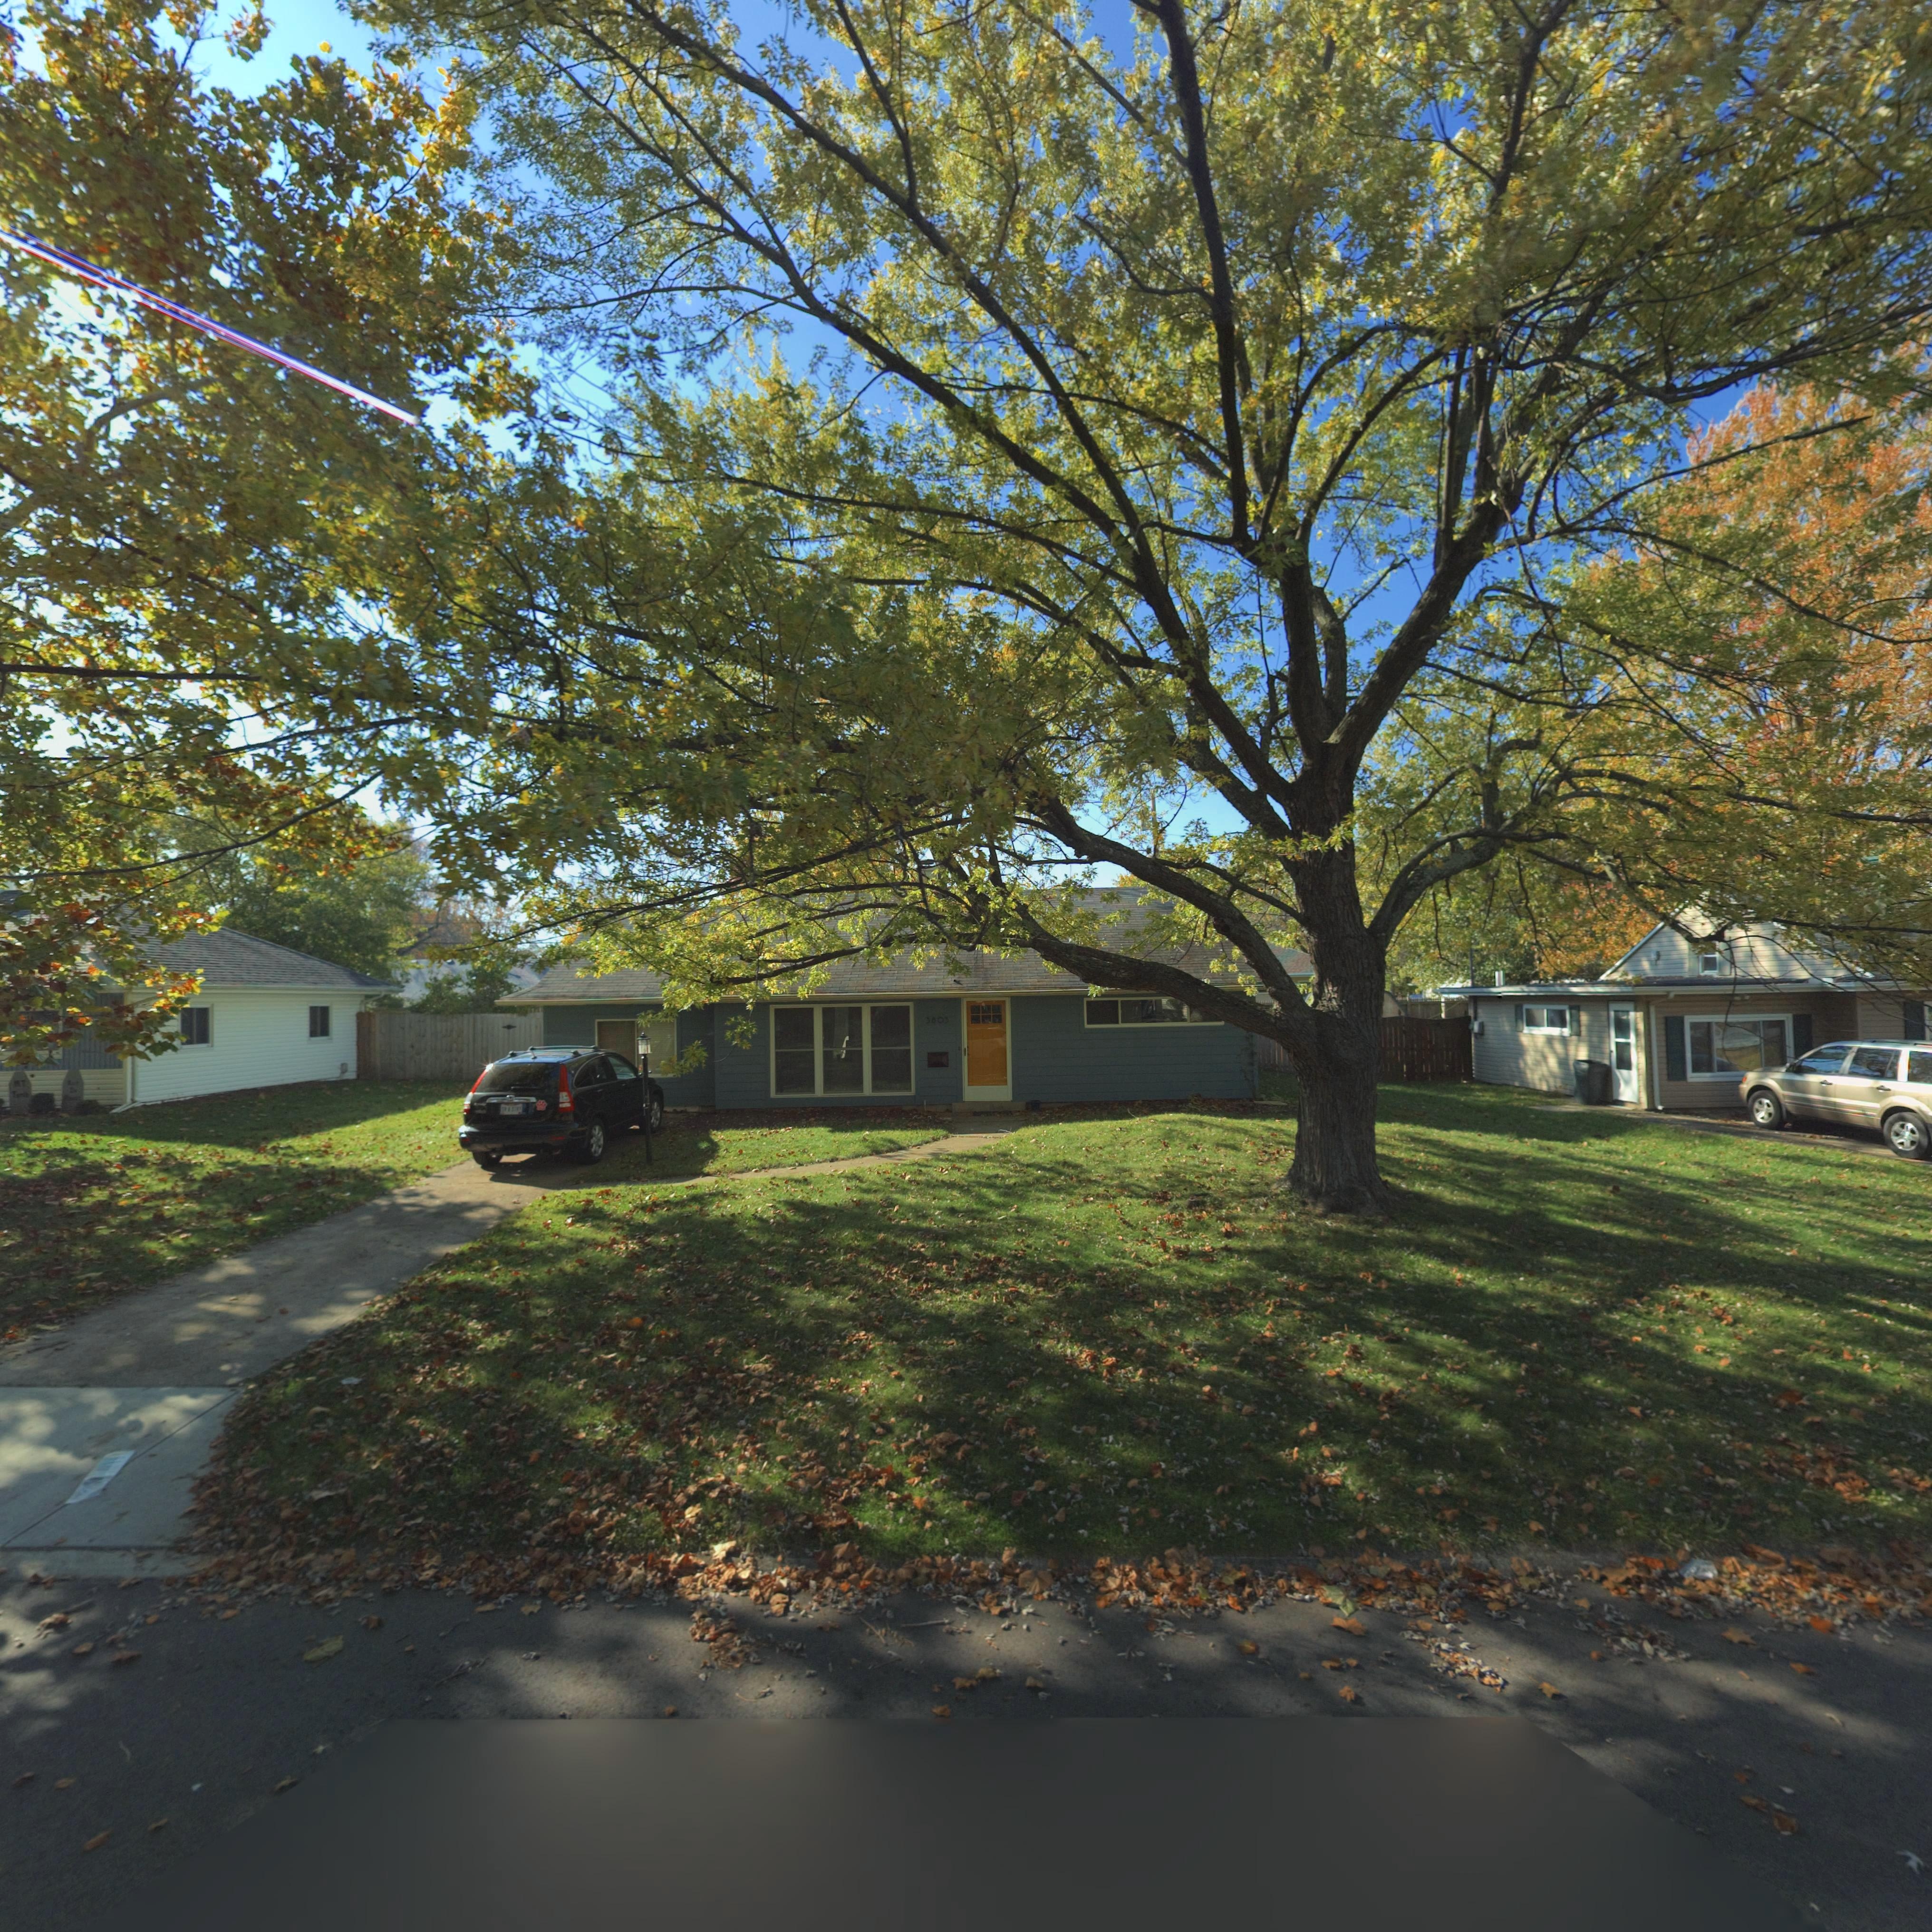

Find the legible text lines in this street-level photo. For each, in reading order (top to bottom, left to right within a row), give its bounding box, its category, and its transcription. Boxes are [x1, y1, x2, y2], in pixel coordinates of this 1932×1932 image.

[922, 1016, 950, 1024] StreetNumber: 3803